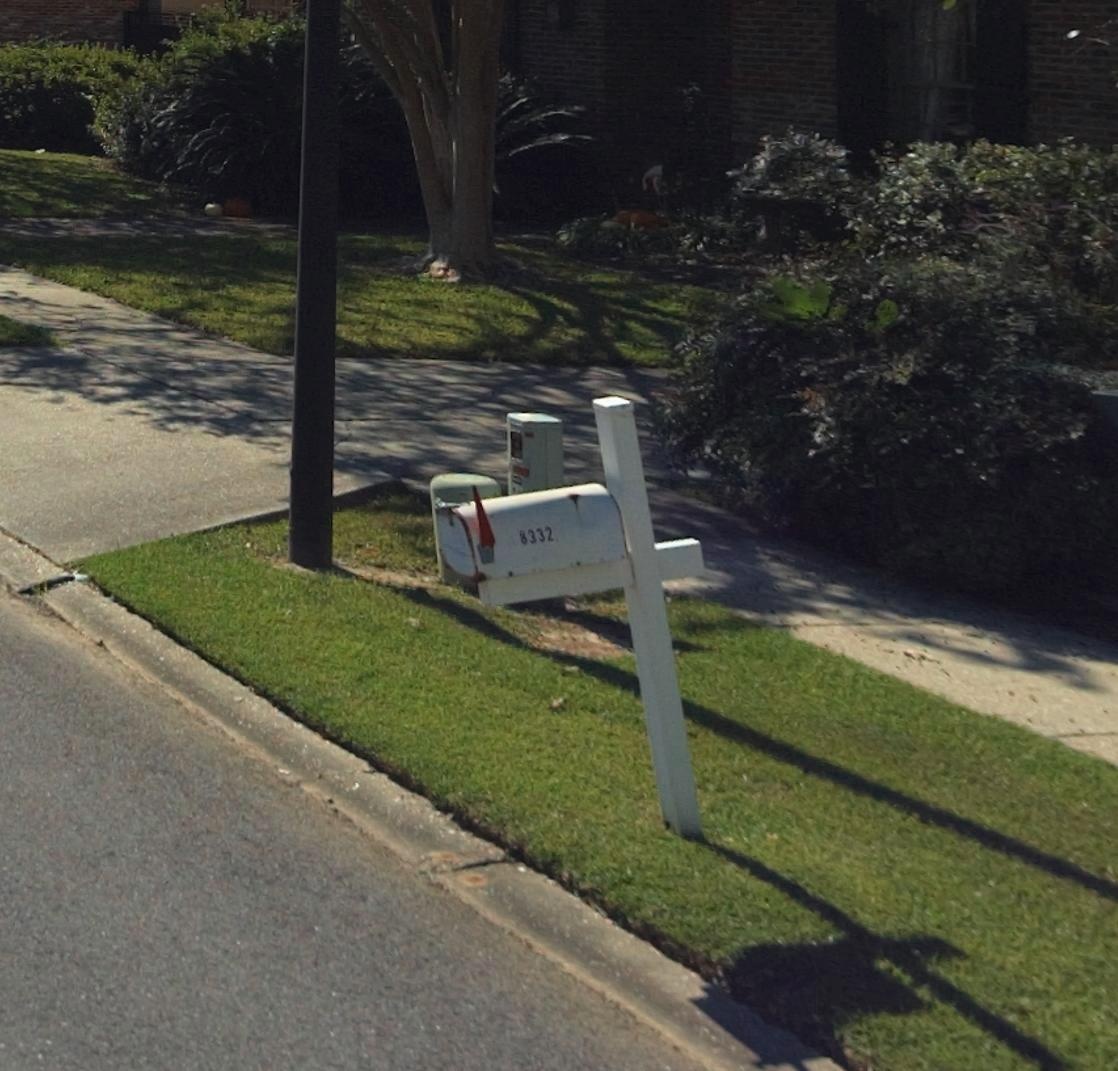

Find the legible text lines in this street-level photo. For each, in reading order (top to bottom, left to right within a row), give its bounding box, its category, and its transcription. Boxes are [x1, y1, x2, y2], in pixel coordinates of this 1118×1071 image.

[517, 525, 556, 546] StreetNumber: 8332